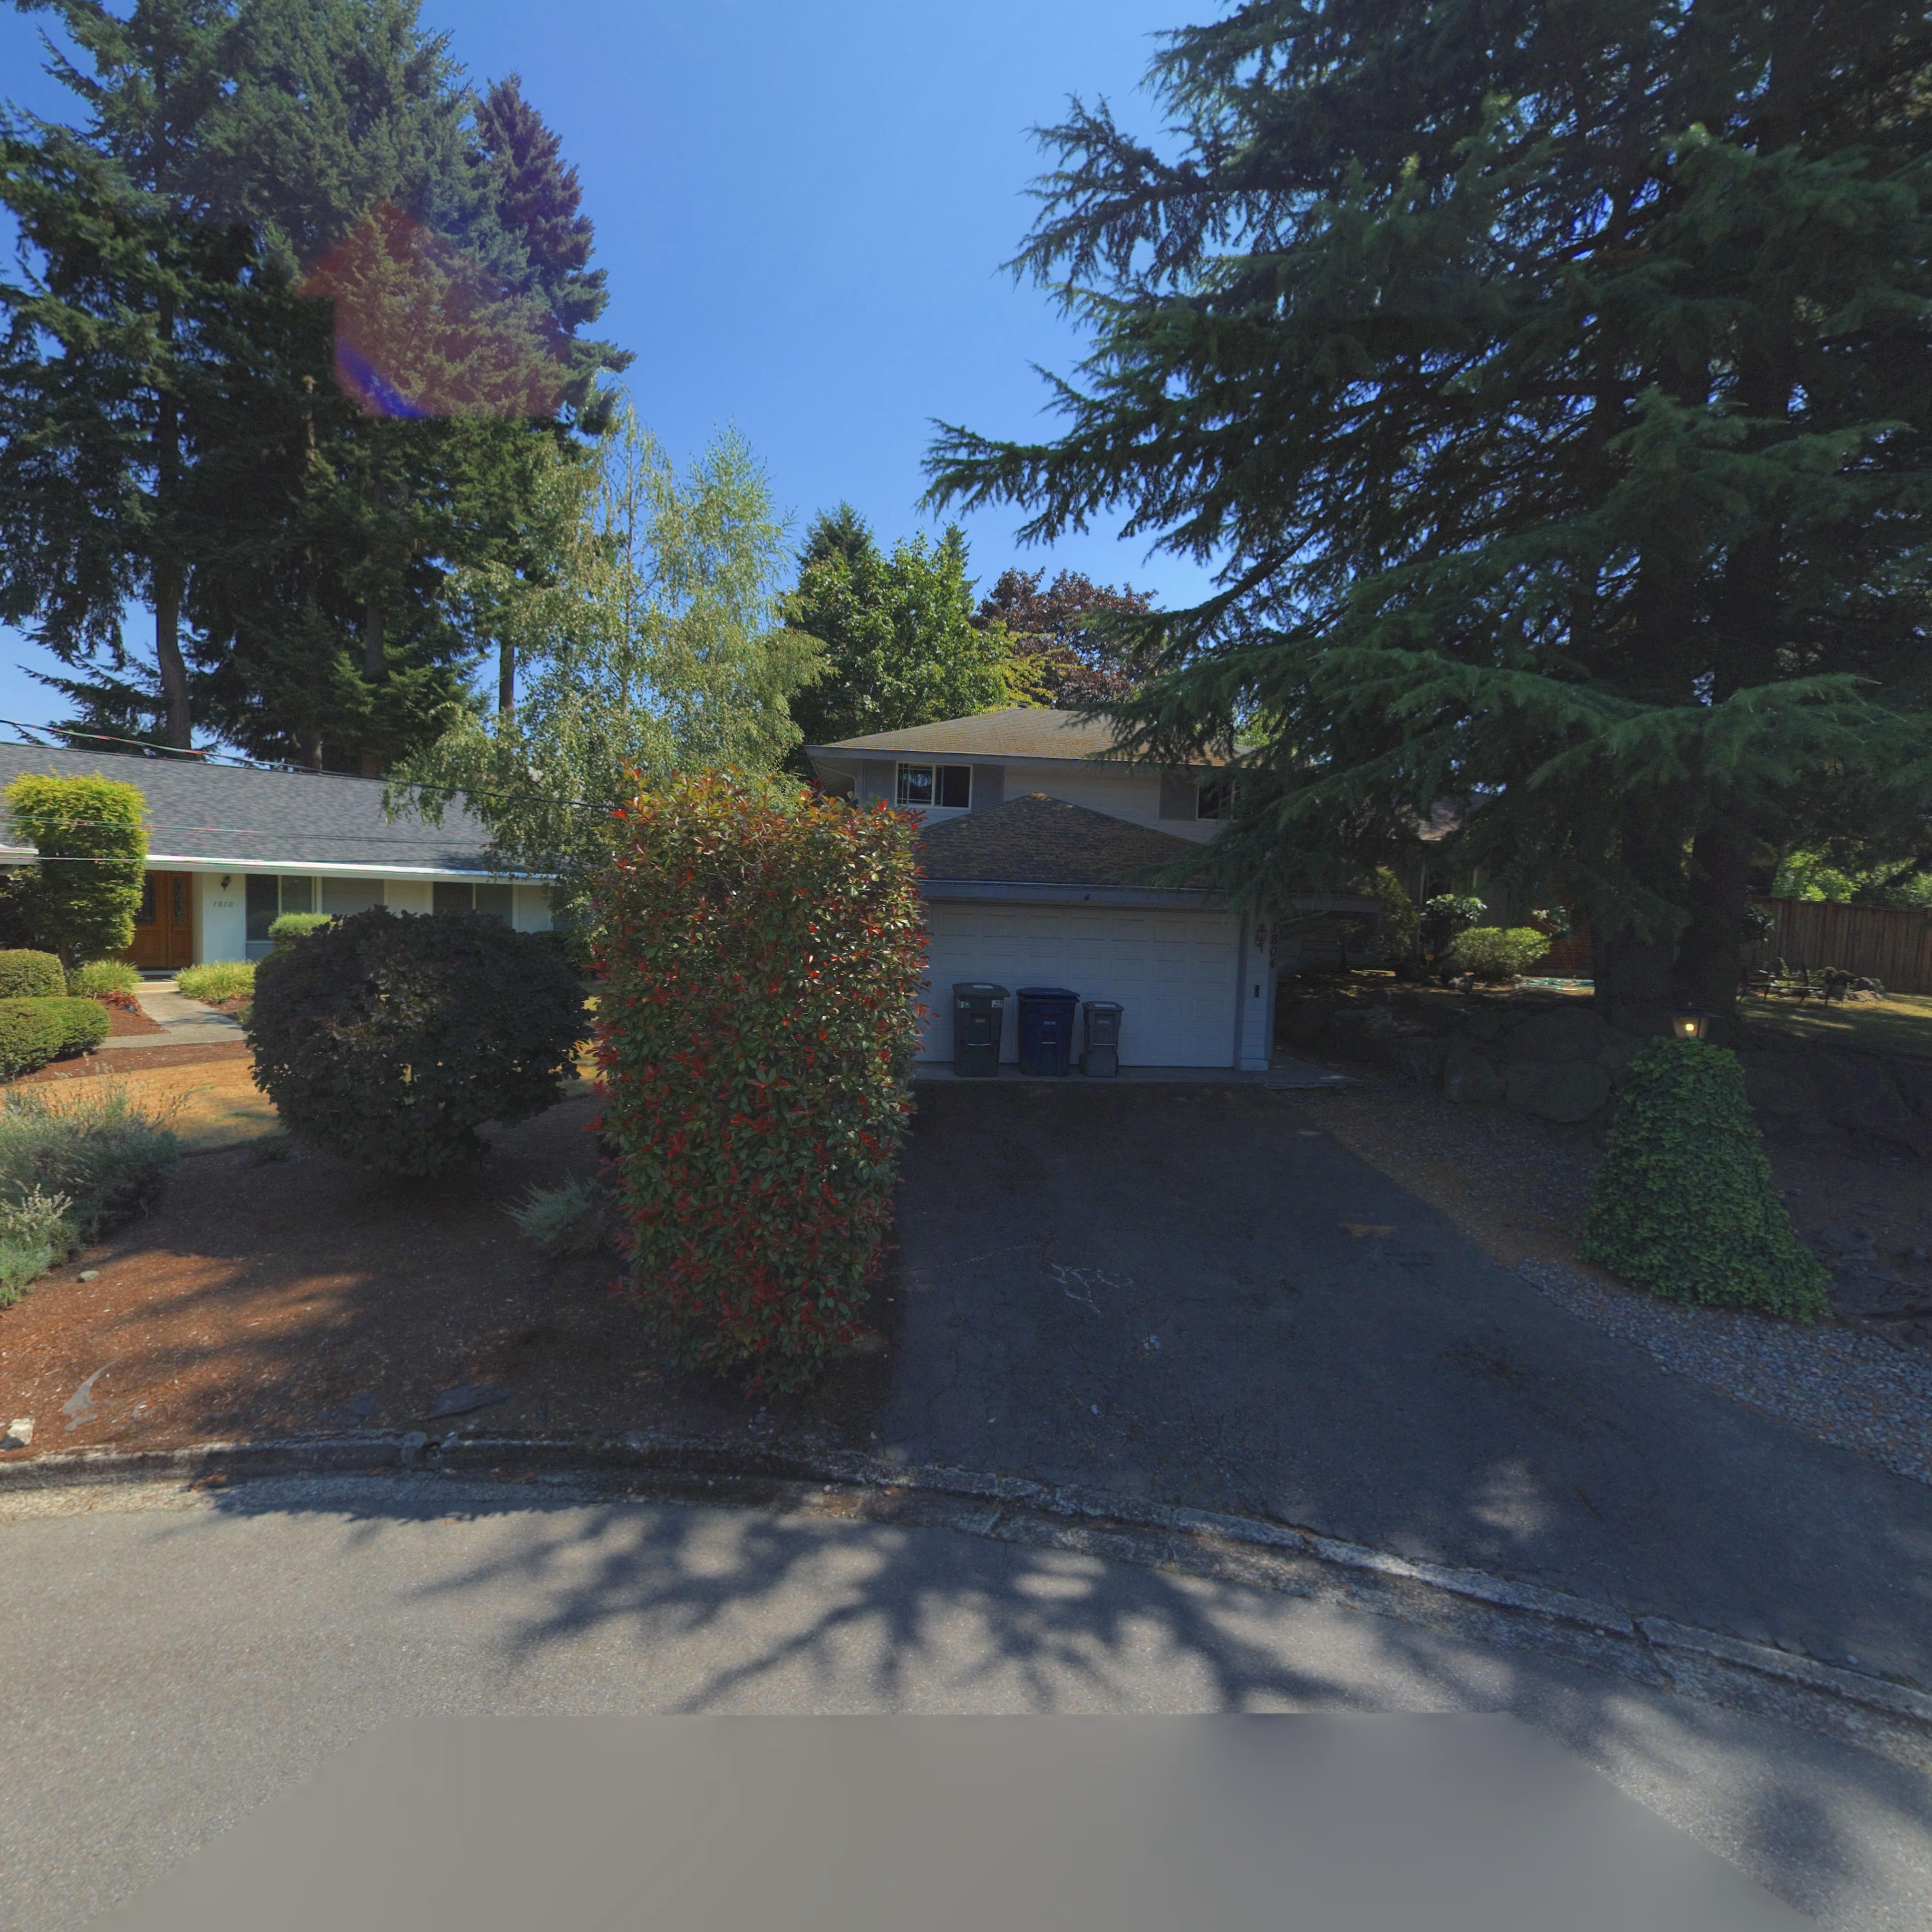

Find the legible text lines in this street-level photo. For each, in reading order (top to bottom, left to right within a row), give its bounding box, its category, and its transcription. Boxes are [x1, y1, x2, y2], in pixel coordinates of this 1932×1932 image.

[212, 901, 233, 908] StreetName: 1810
[1268, 920, 1278, 968] StreetName: 1804